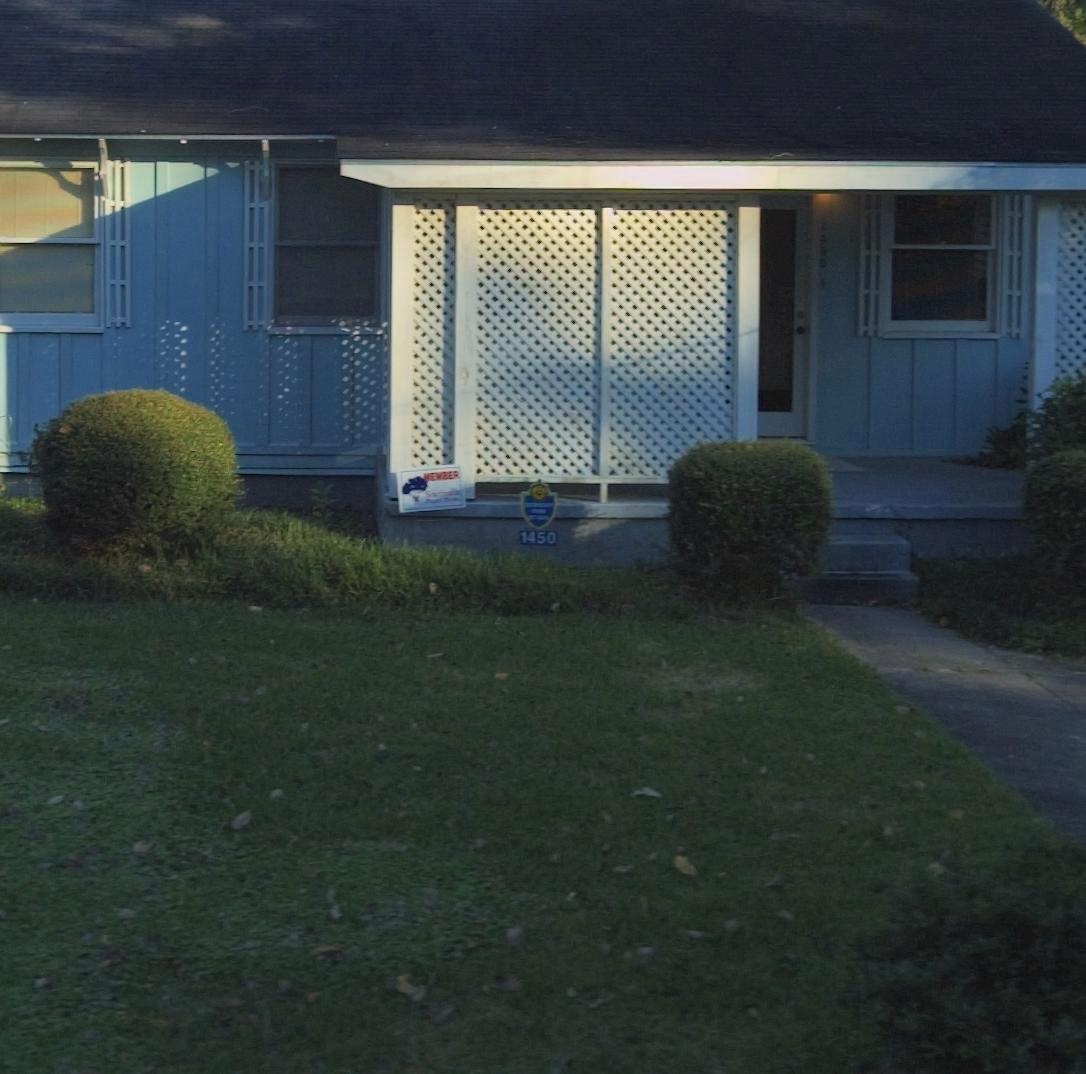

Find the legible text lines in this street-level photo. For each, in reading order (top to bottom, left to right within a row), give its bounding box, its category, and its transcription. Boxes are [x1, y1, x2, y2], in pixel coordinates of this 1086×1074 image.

[421, 468, 461, 484] None: MEMBER
[519, 529, 558, 546] StreetNumber: 1450